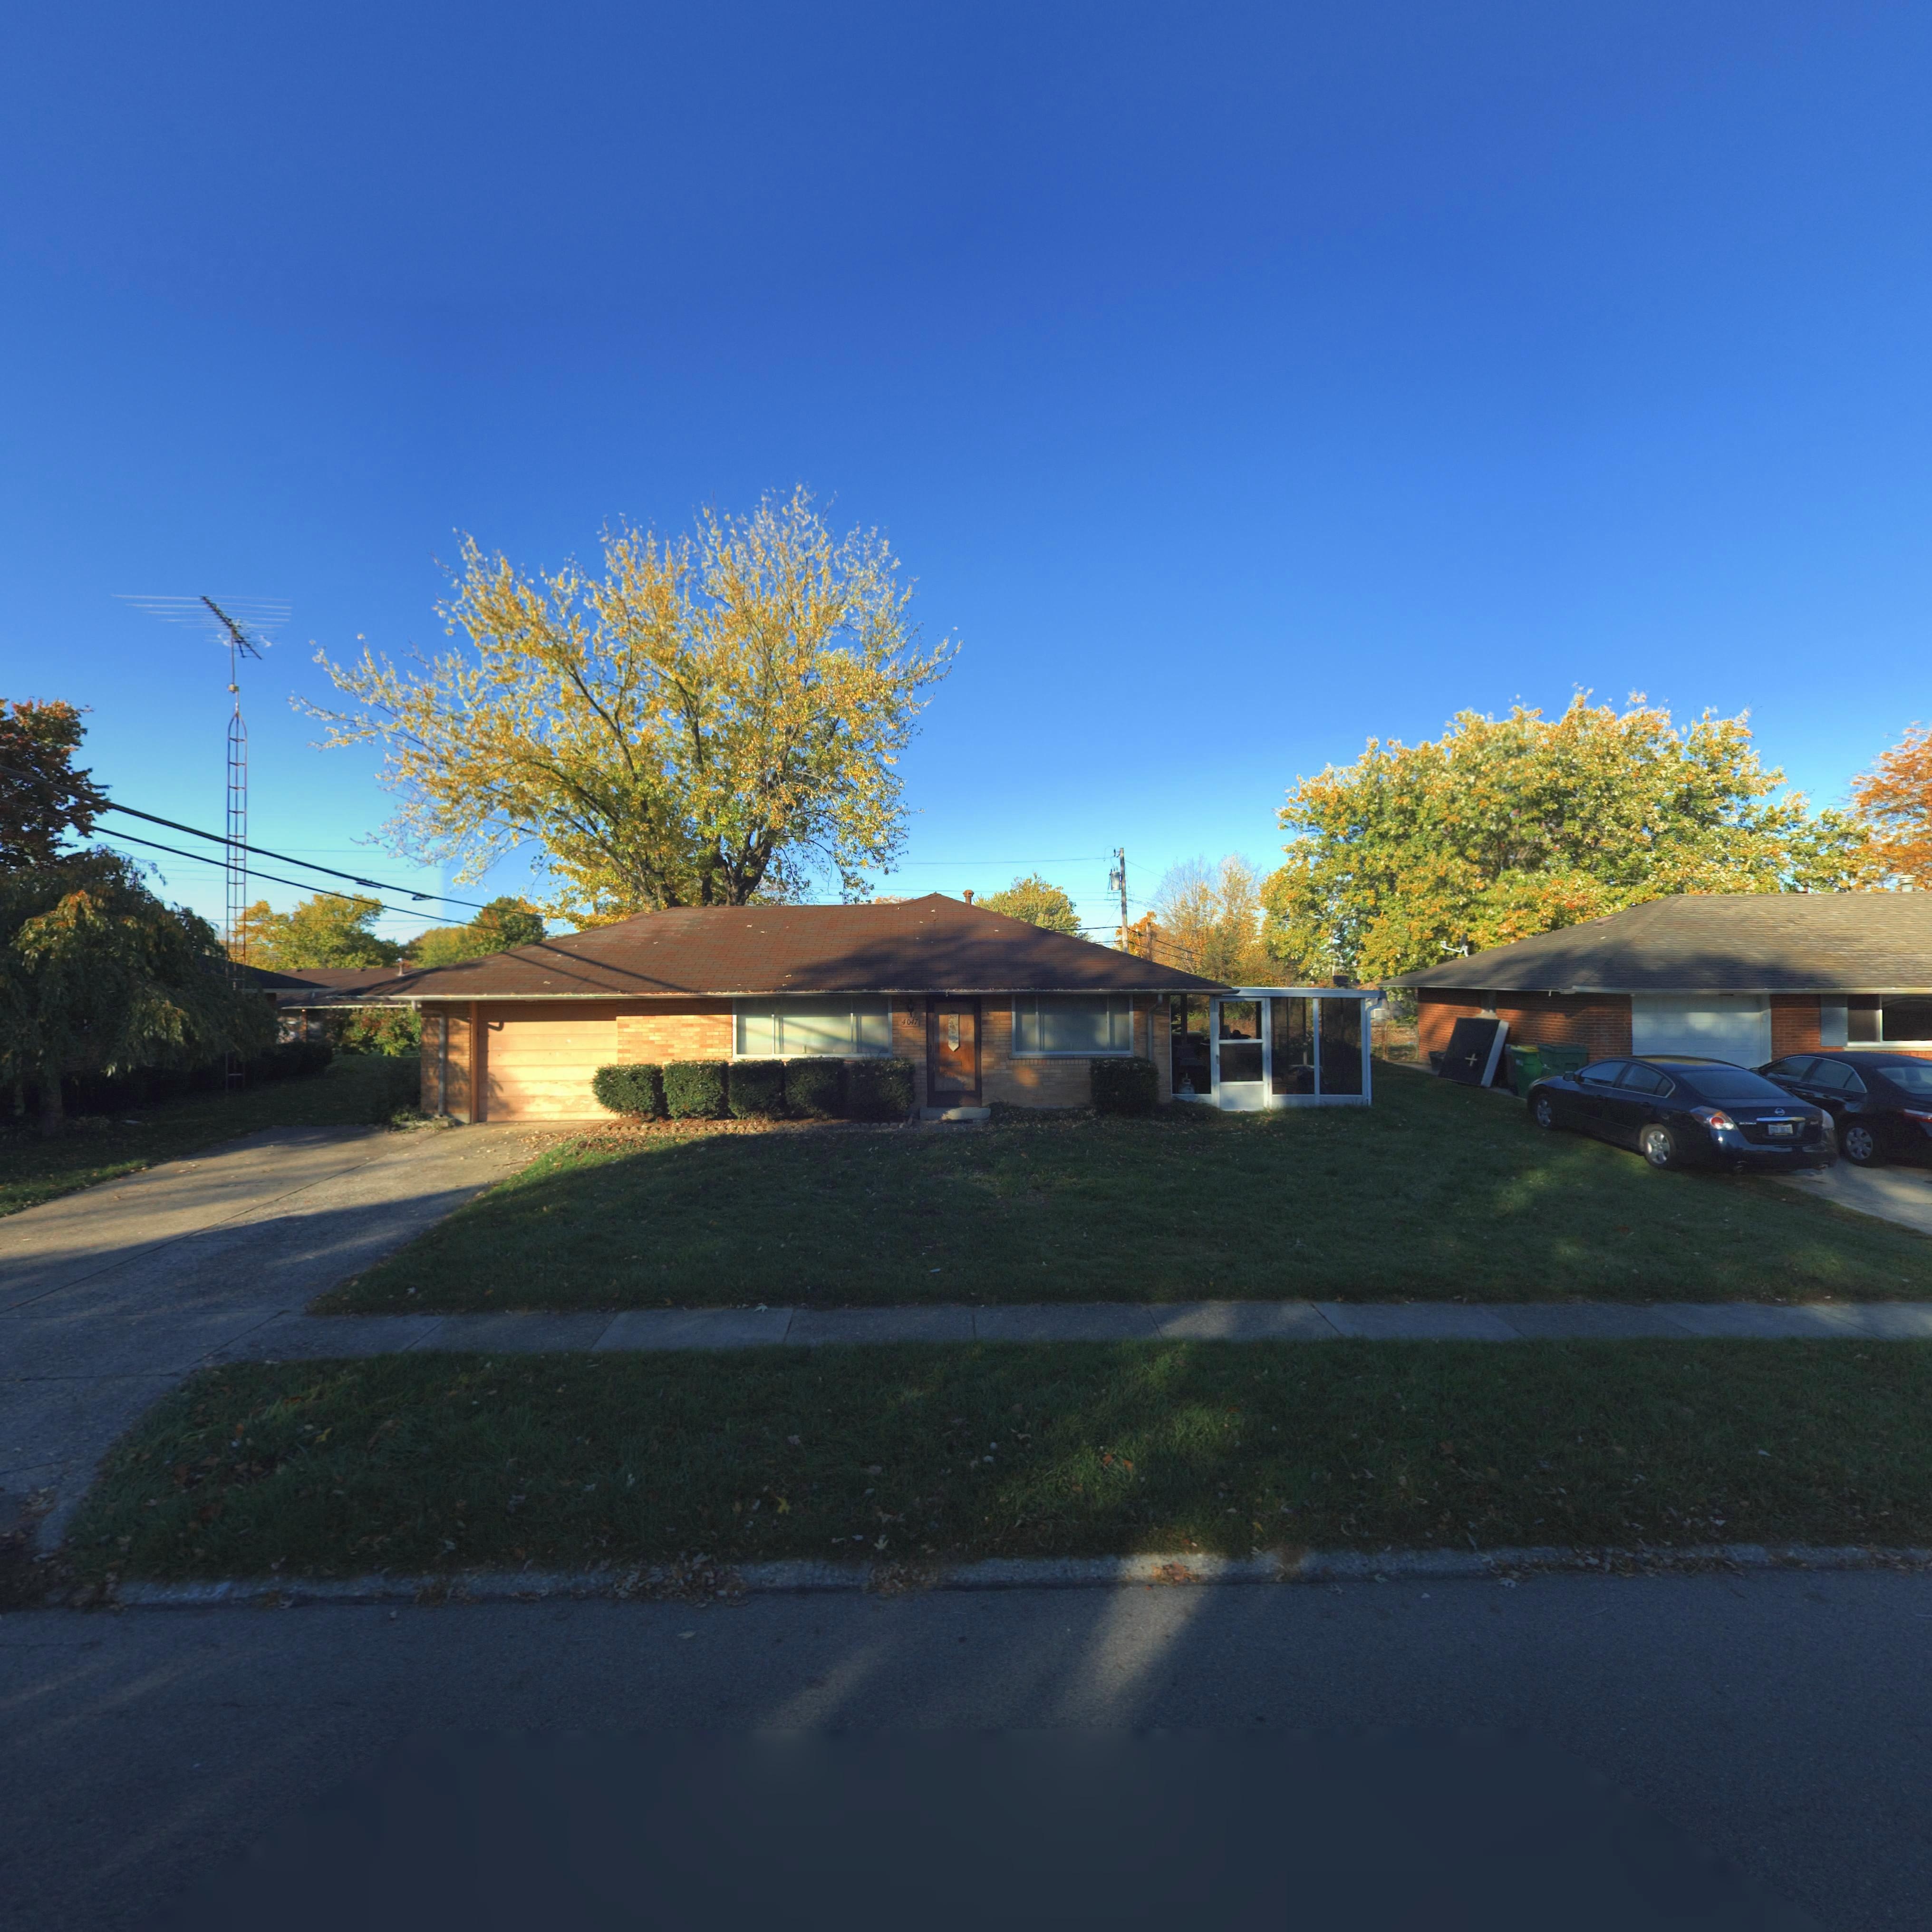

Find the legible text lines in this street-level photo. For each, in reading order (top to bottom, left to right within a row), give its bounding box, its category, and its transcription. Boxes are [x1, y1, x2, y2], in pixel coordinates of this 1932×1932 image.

[901, 1018, 918, 1025] StreetNumber: 4047